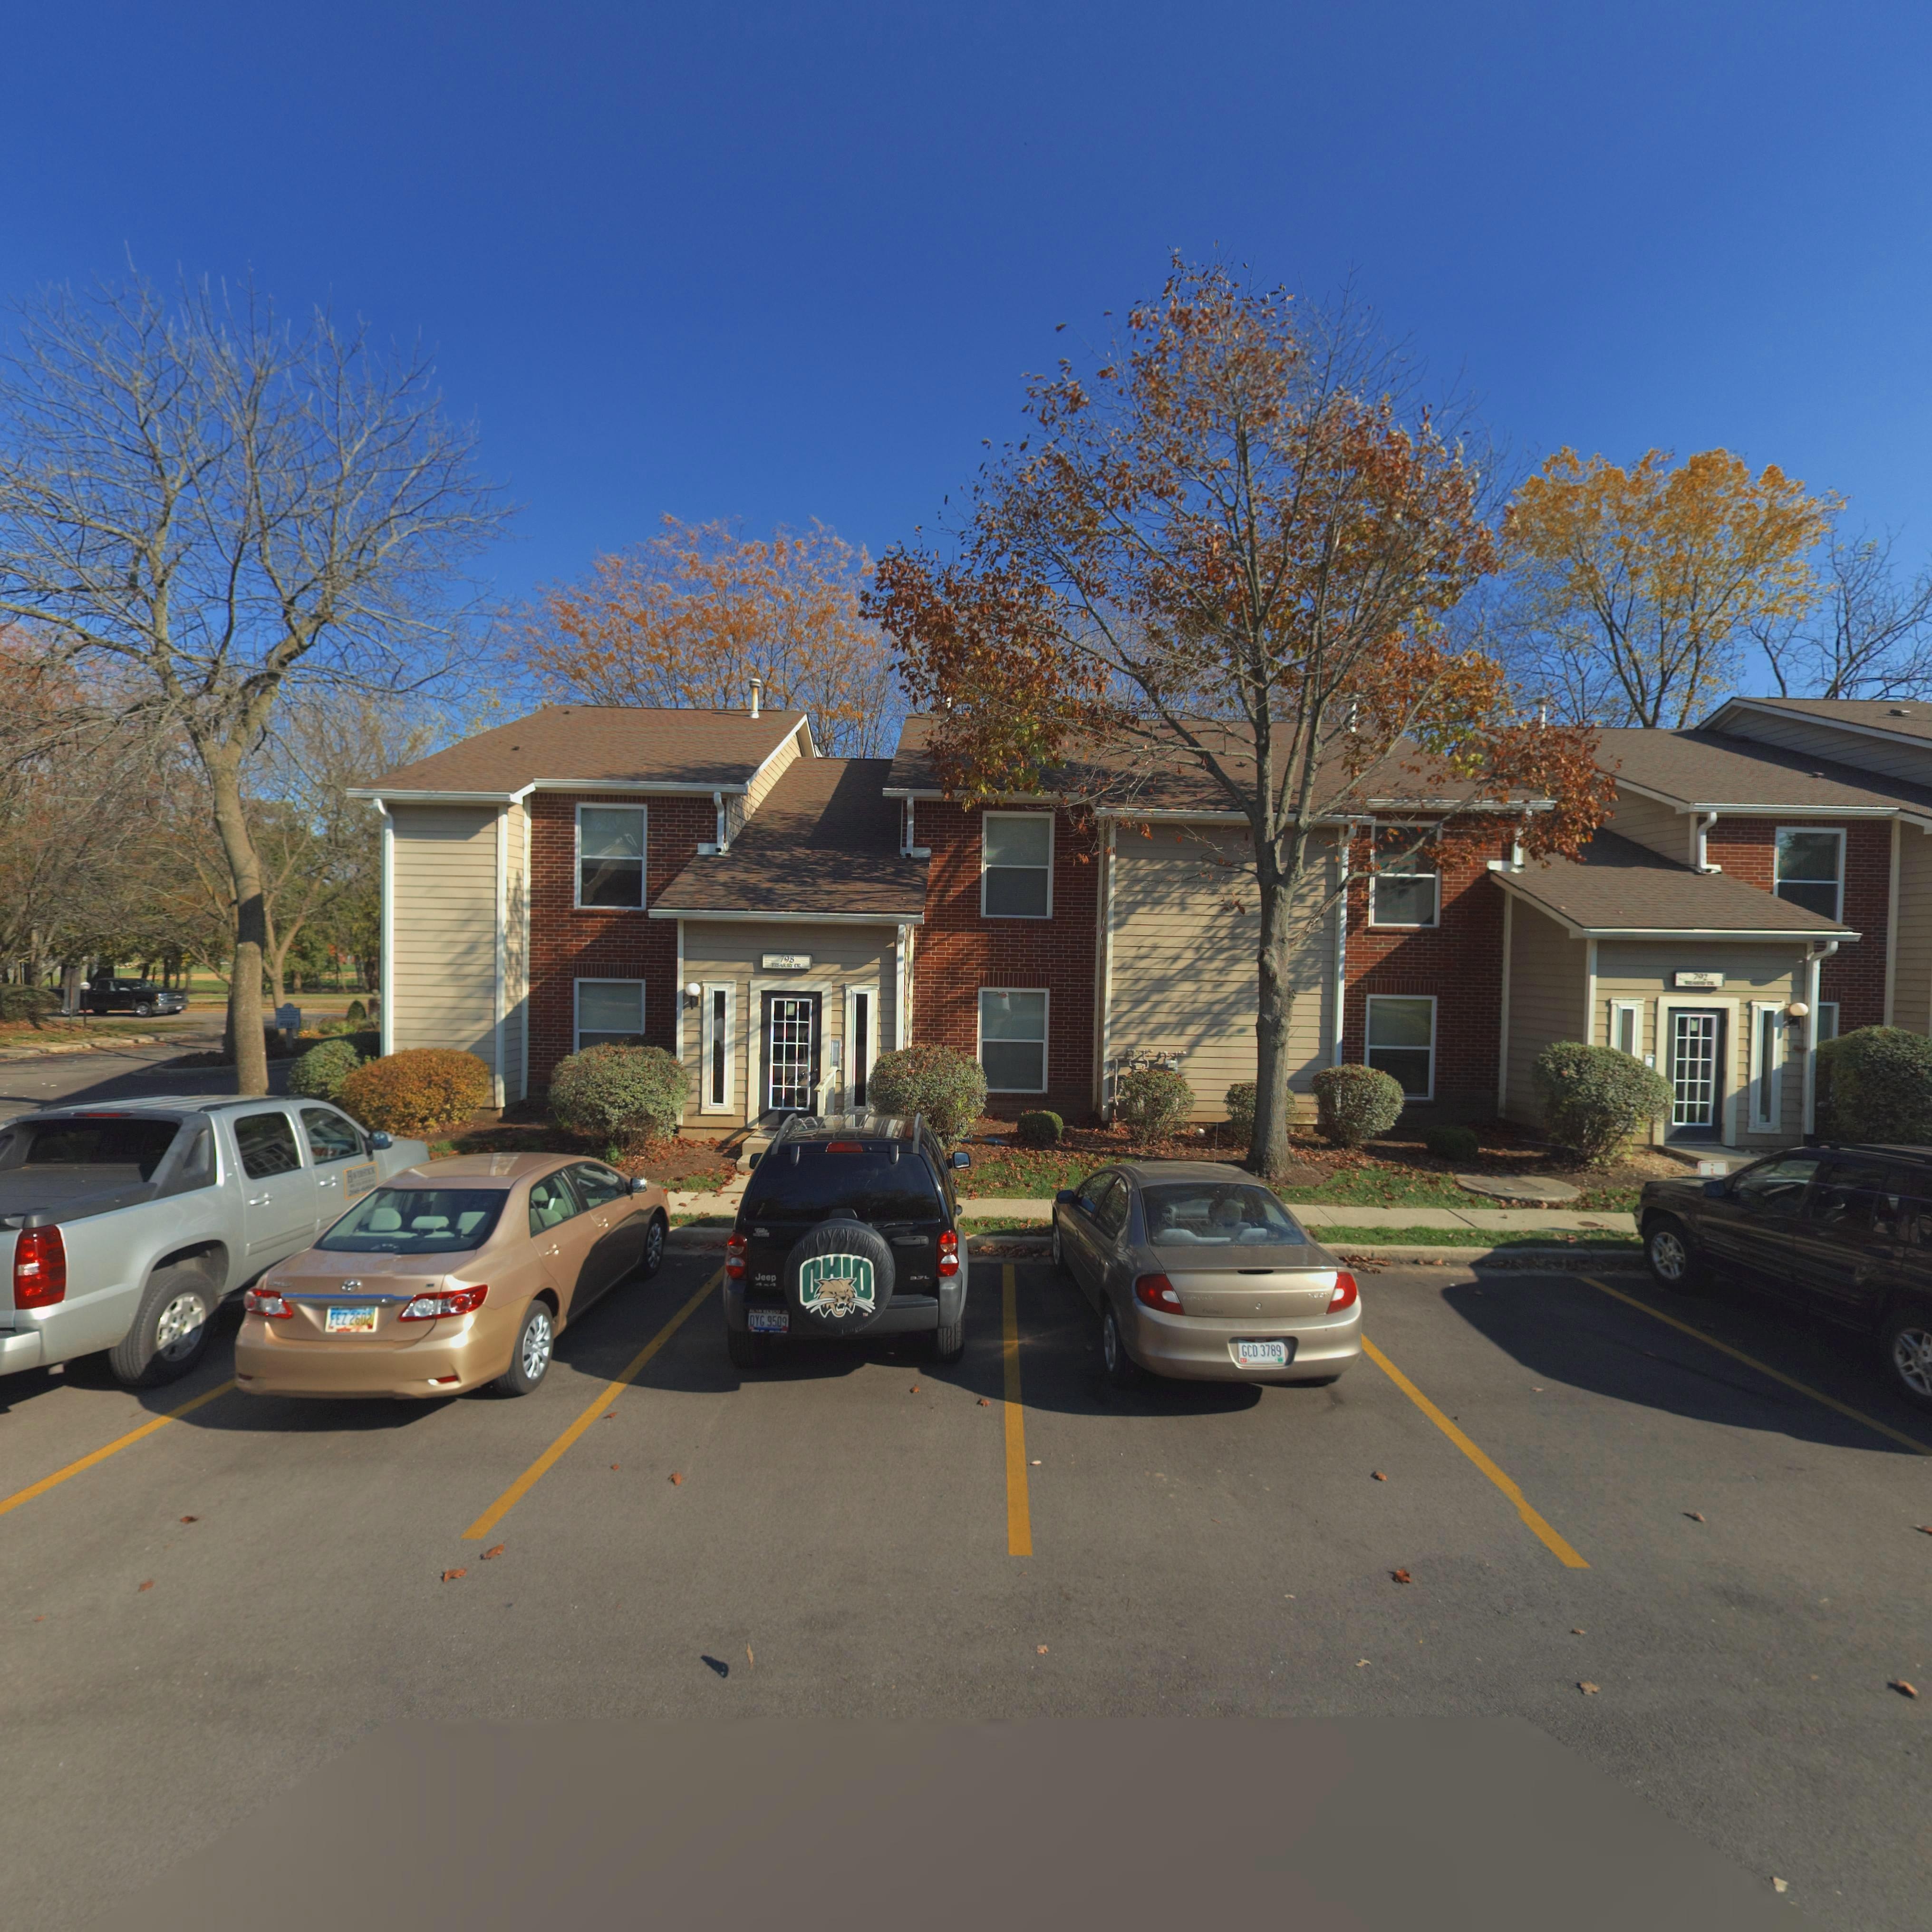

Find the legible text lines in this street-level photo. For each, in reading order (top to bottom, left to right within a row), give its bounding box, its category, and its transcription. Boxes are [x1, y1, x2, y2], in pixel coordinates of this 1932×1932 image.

[780, 955, 794, 963] StreetNumber: 798
[771, 963, 802, 968] StreetName: TREASURY *R
[1692, 973, 1708, 981] StreetNumber: 792
[345, 1169, 353, 1184] None: H
[754, 1272, 777, 1283] None: Jeep
[802, 1256, 872, 1304] None: OHIO
[909, 1275, 930, 1280] None: 3.7L
[754, 1282, 776, 1287] None: 4x4
[1307, 1292, 1330, 1299] None: NEON
[862, 1312, 869, 1317] None: TM
[329, 1312, 372, 1326] None: FEZ*2602
[749, 1314, 788, 1327] None: DYG*9509
[1241, 1344, 1282, 1357] None: GCD*3789